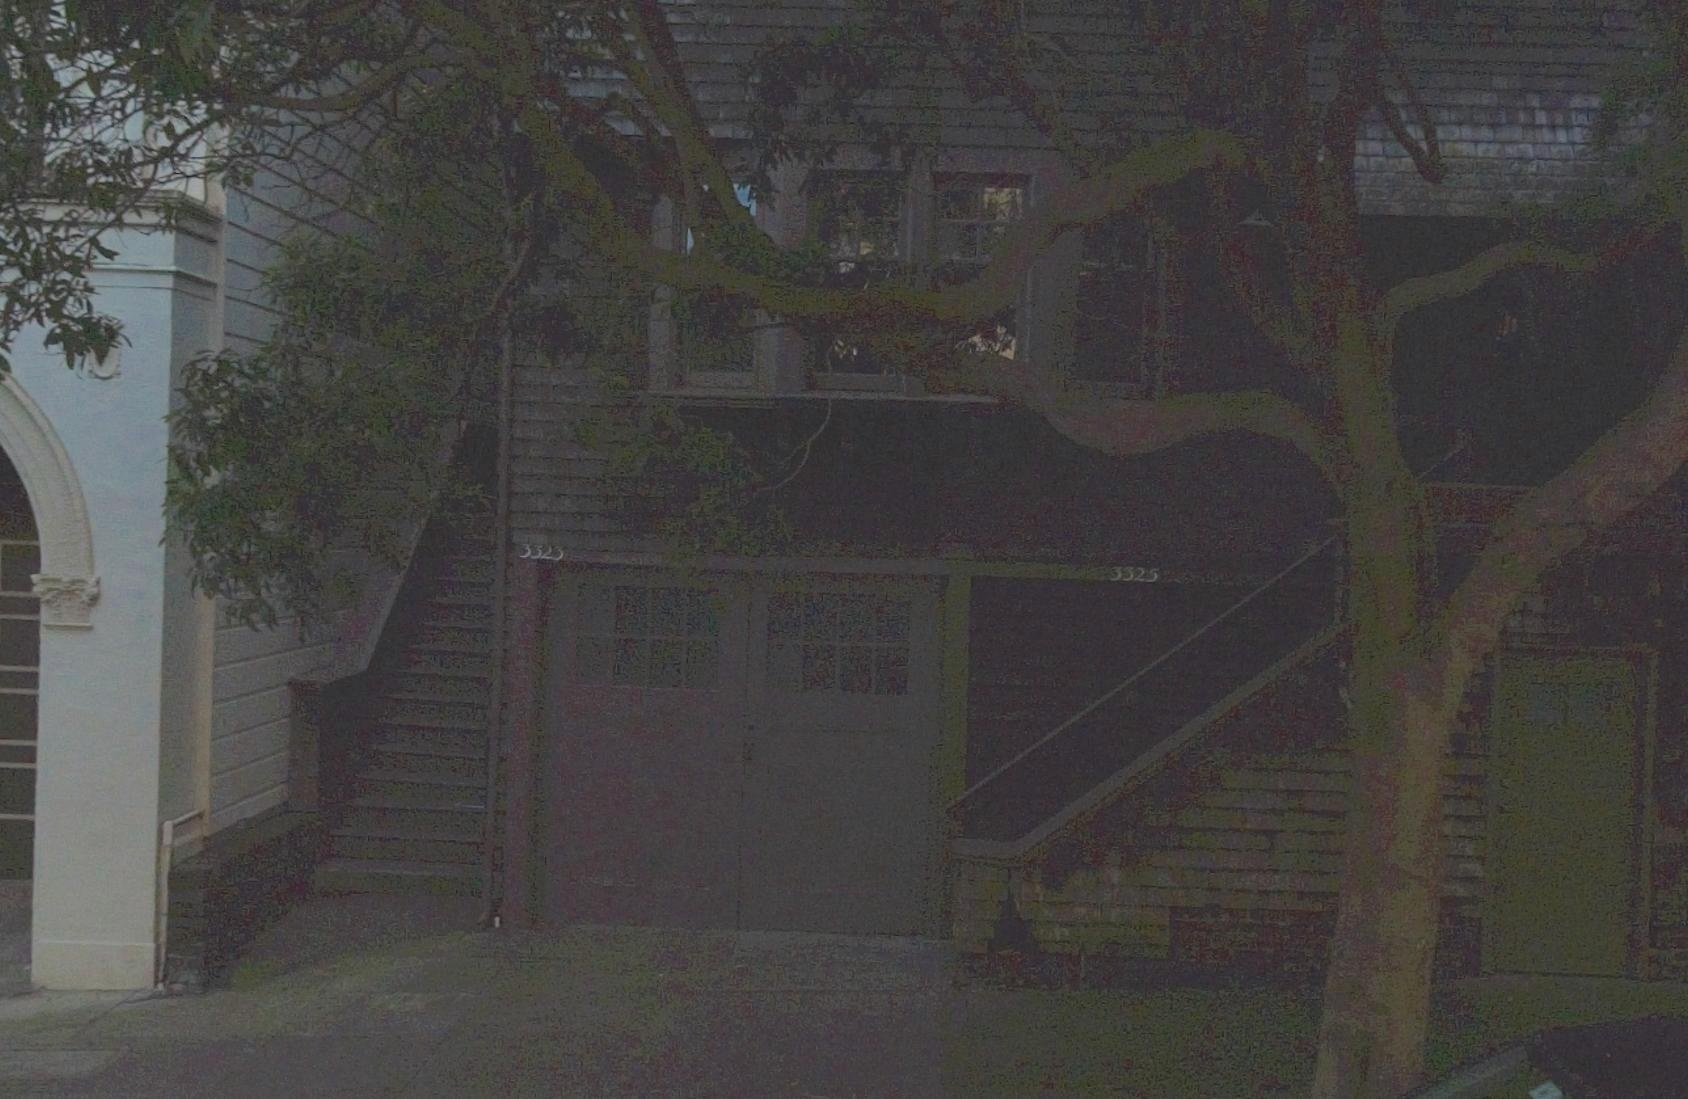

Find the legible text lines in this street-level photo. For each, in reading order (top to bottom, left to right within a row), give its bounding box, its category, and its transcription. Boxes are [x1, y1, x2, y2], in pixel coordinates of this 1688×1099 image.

[516, 541, 566, 562] StreetNumber: 3323
[1107, 563, 1160, 585] StreetNumber: 3325